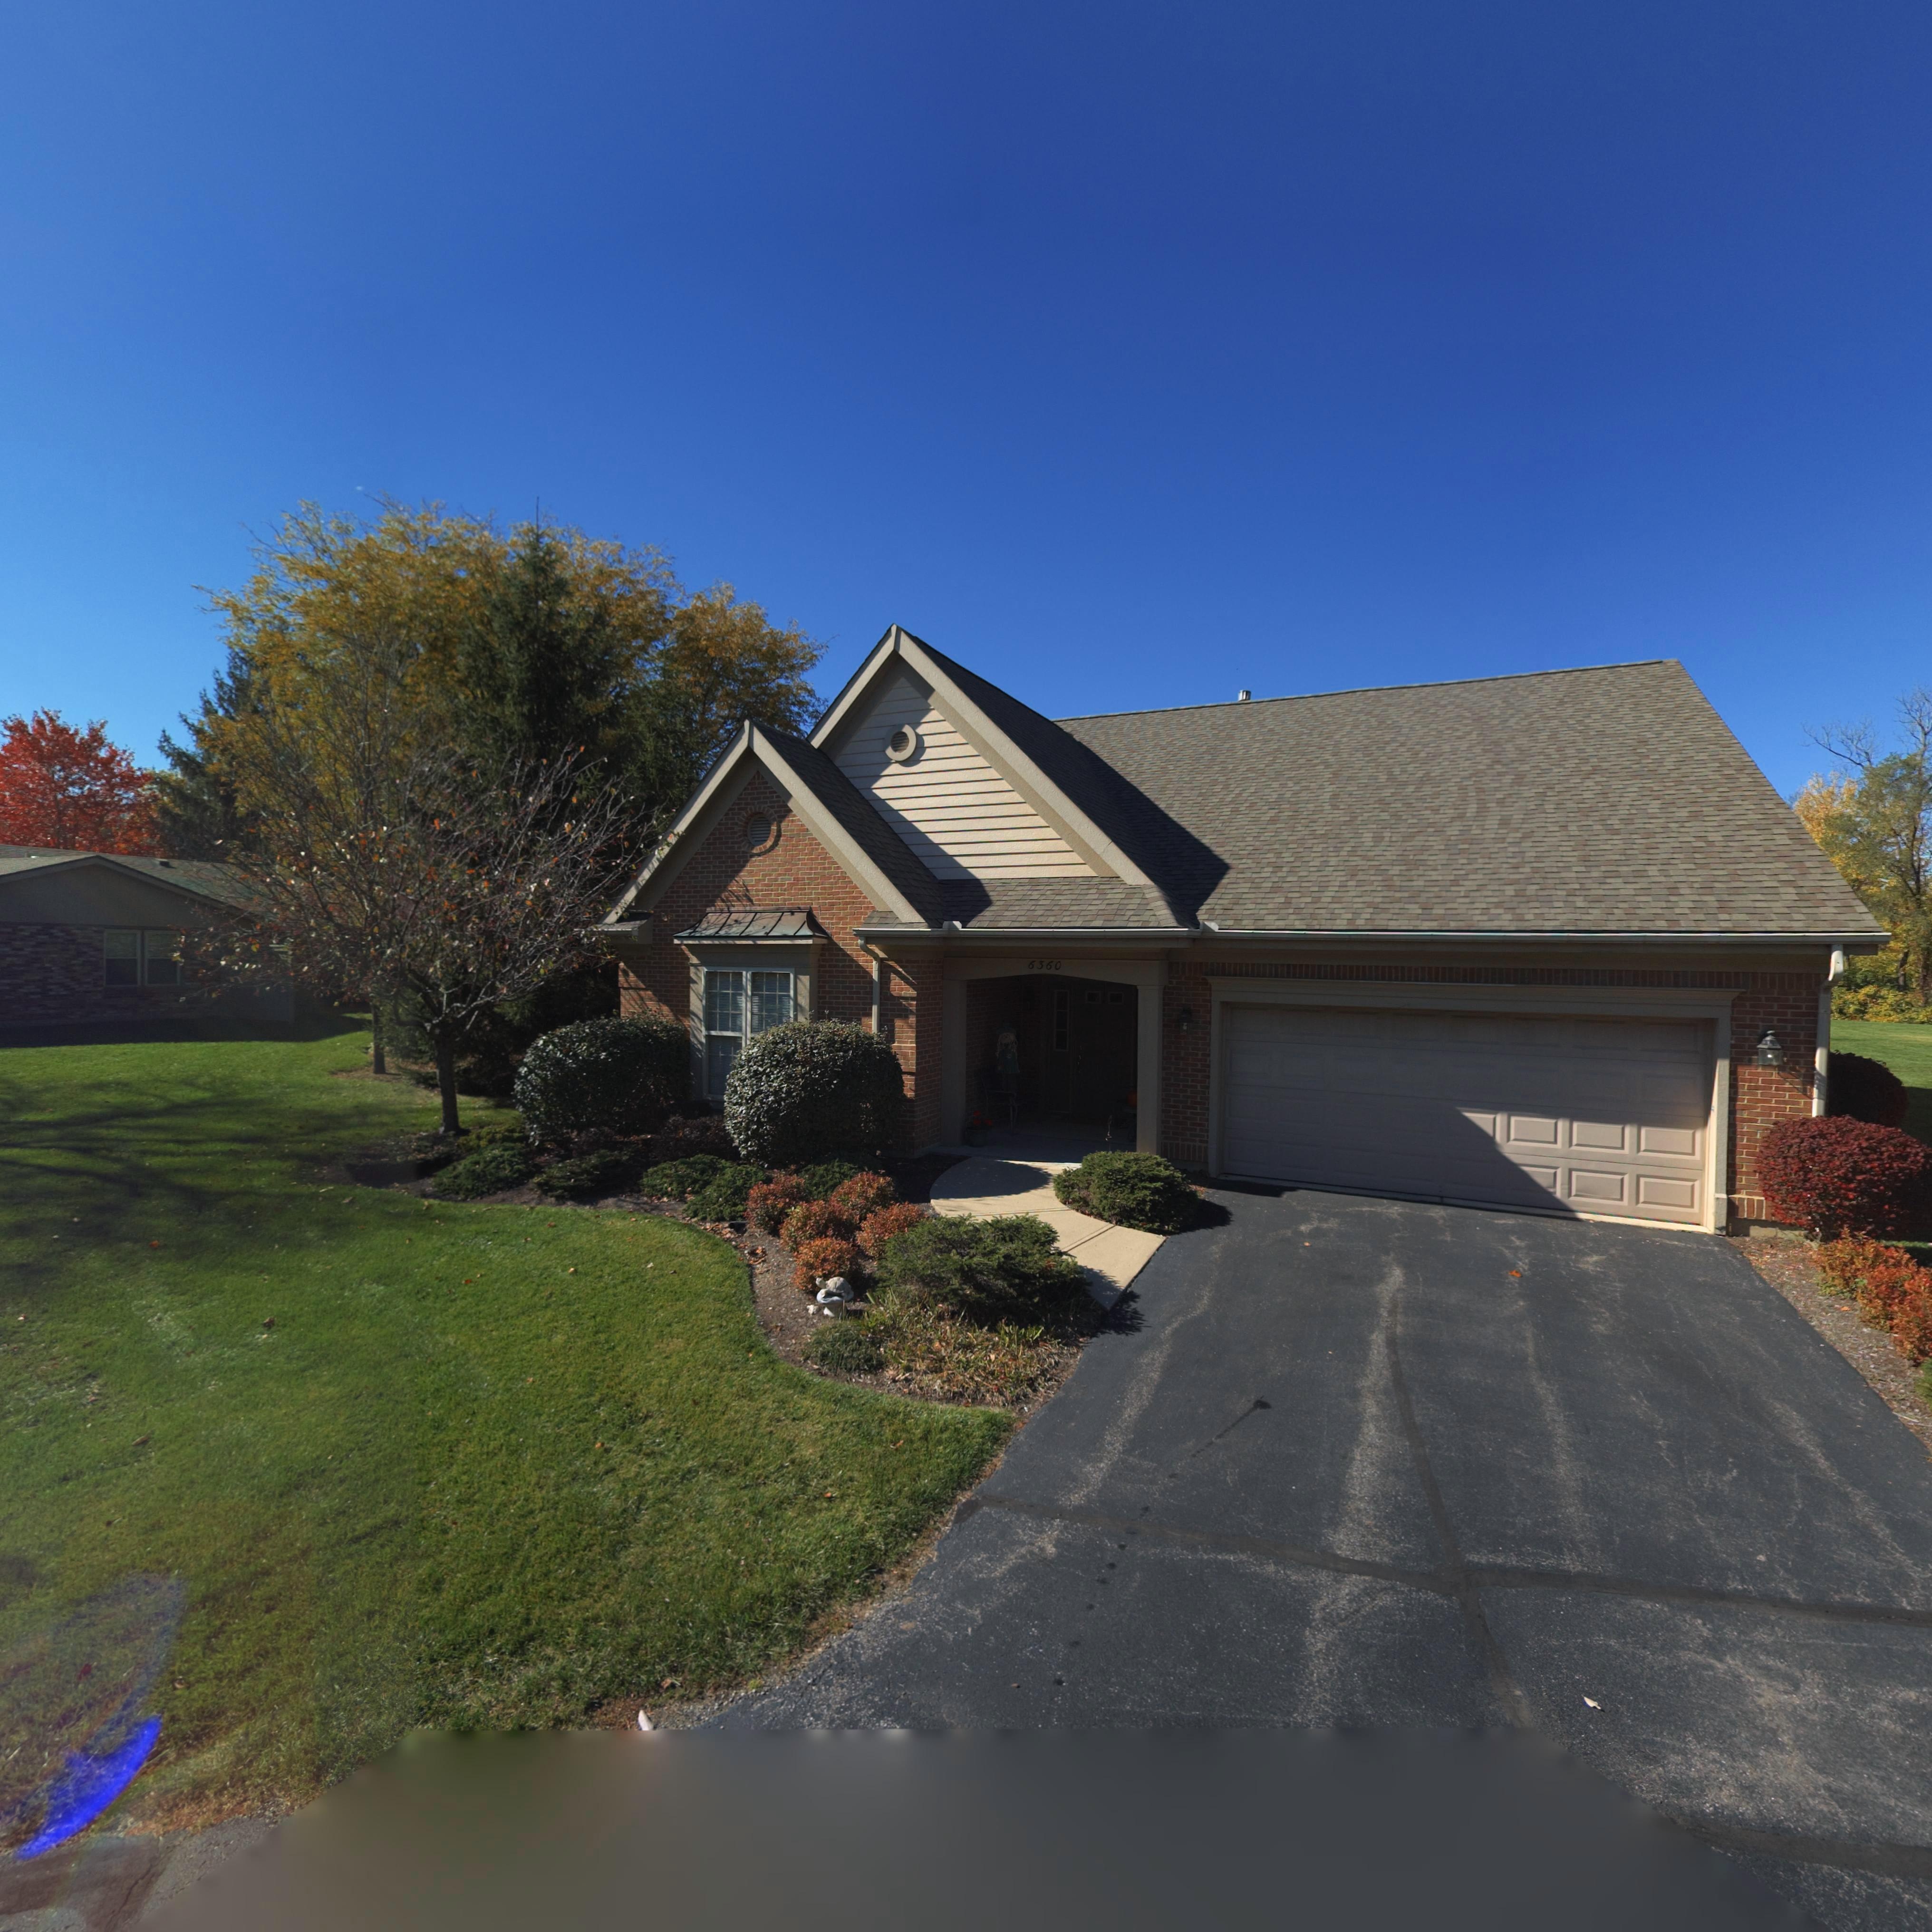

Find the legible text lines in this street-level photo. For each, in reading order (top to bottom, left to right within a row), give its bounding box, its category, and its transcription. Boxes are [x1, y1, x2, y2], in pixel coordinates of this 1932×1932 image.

[1028, 958, 1063, 971] StreetNumber: 6360